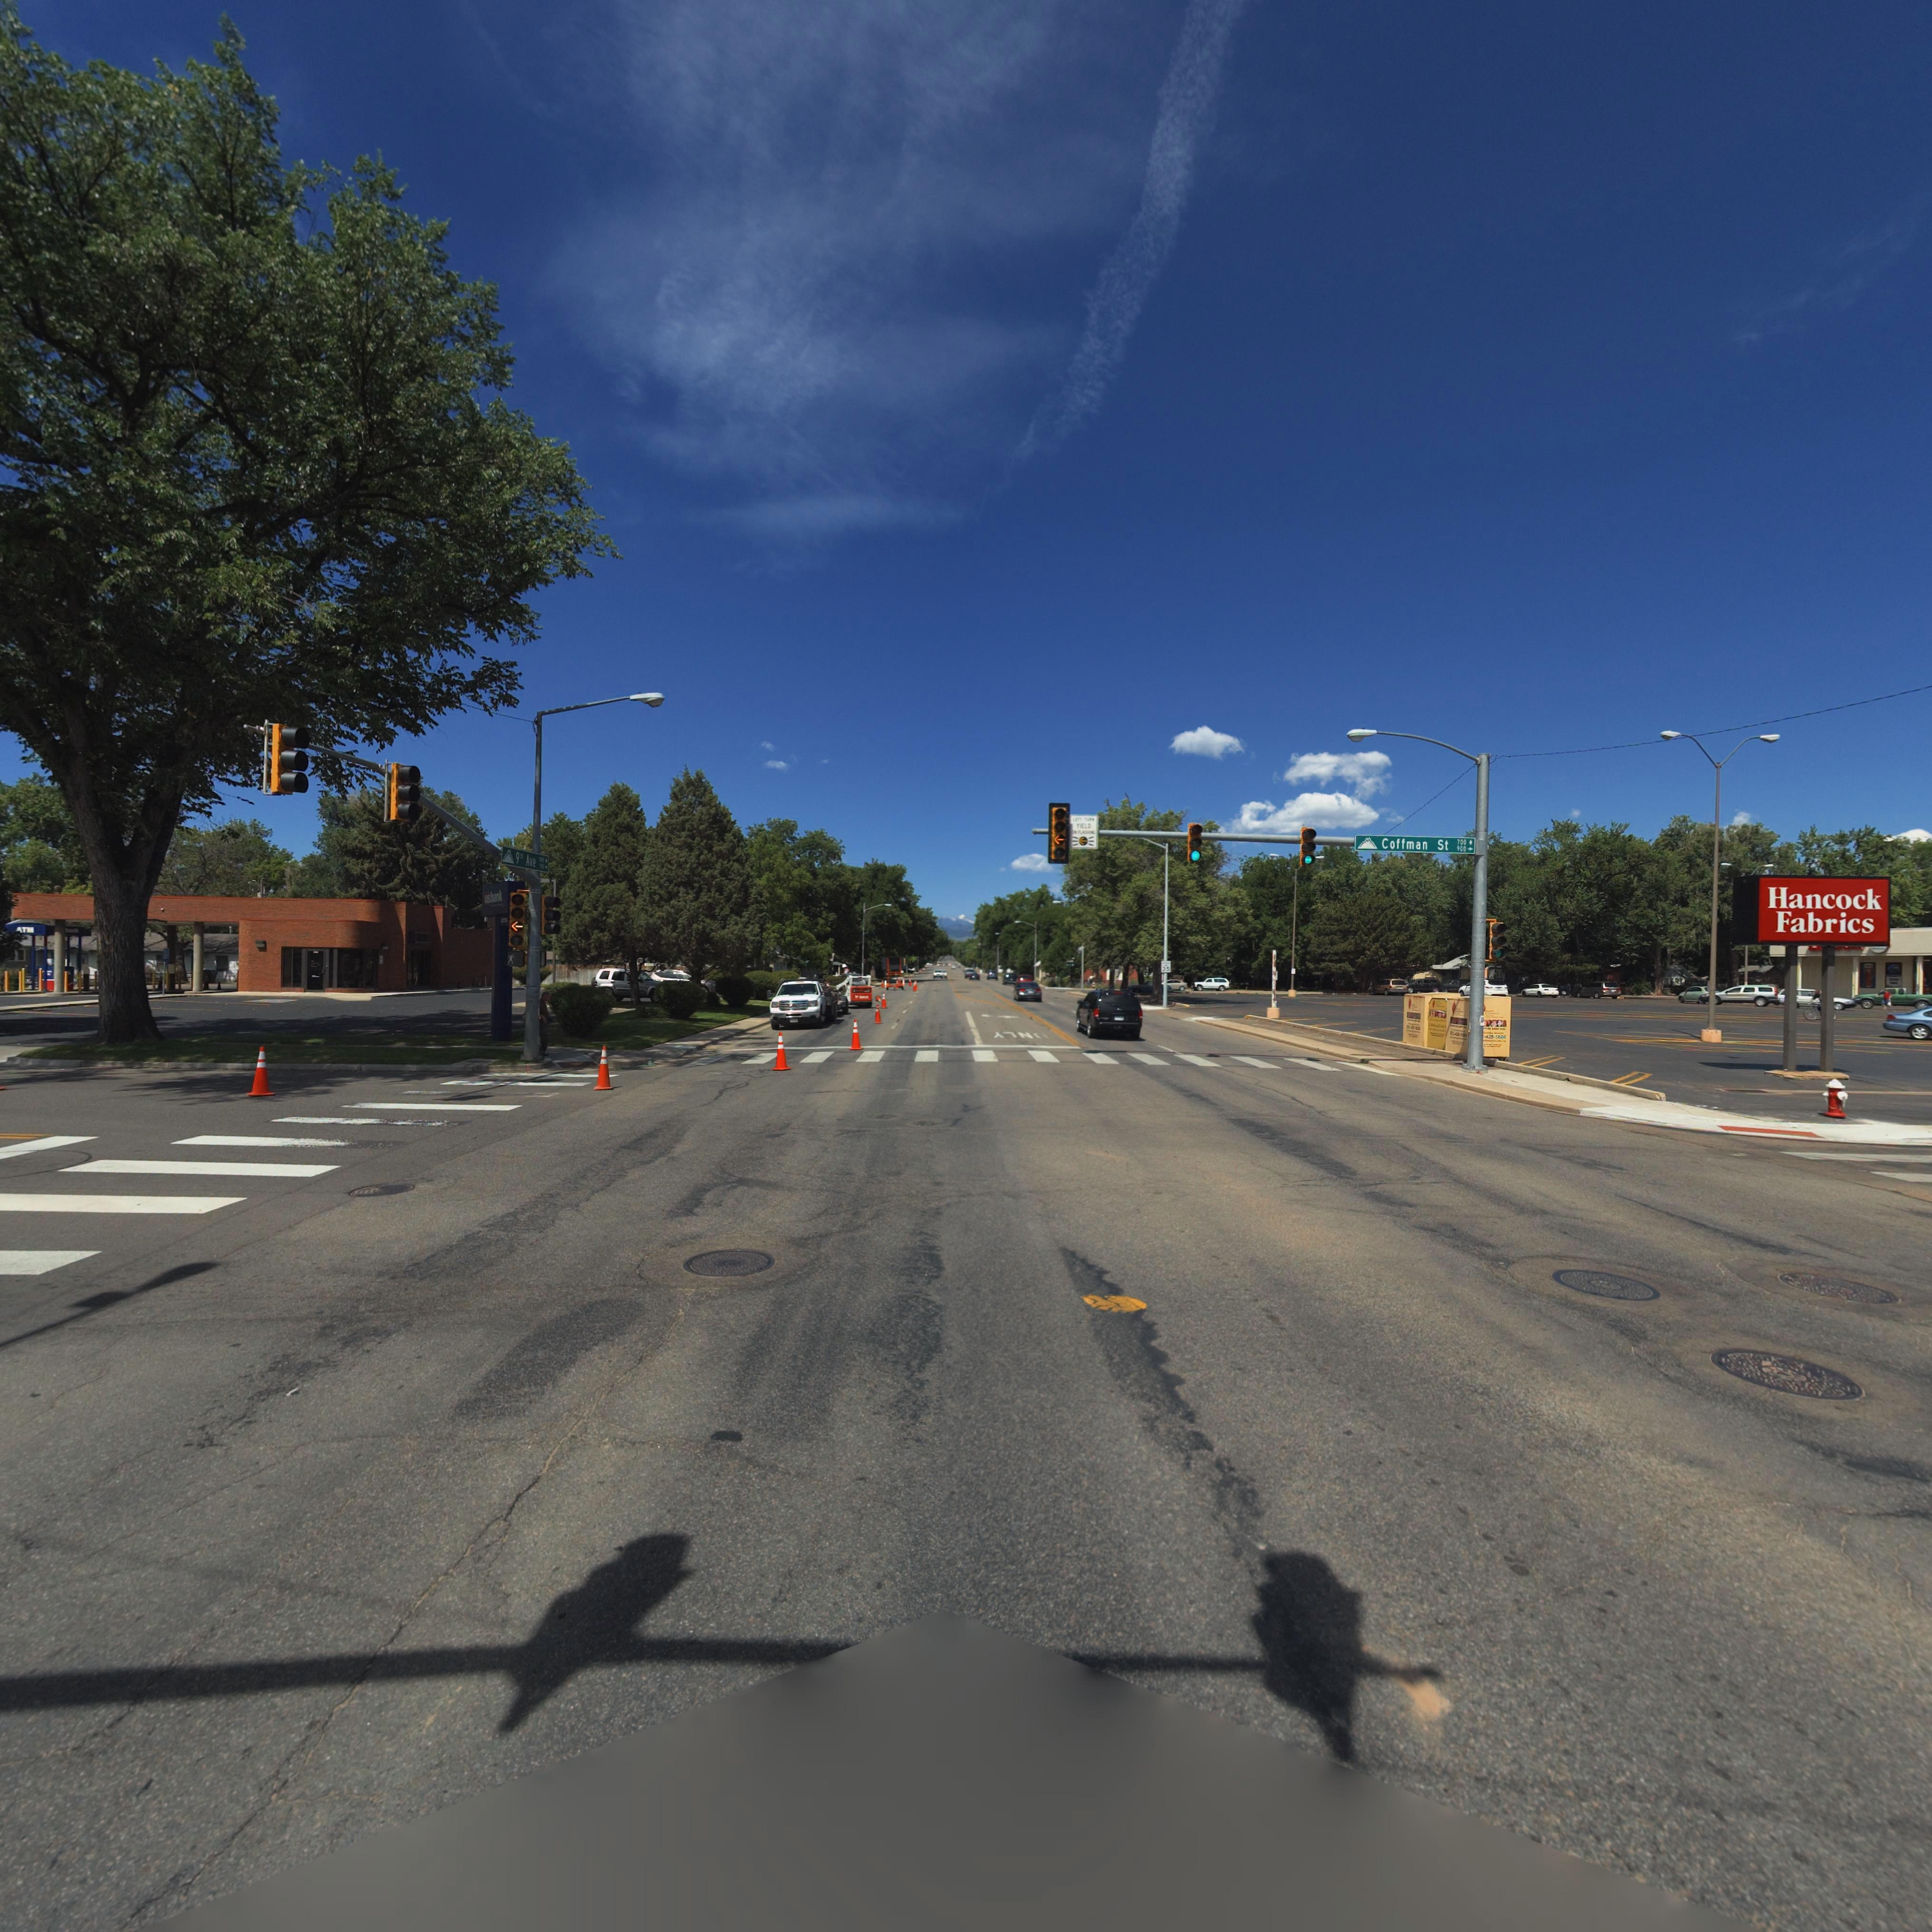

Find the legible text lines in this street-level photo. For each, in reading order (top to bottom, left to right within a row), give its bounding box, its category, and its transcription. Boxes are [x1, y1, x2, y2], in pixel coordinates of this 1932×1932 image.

[1381, 838, 1449, 850] StreetName: Coffman St
[1456, 839, 1467, 845] StreetNumberRange: 700
[1456, 845, 1474, 852] StreetNumberRange: 900->
[515, 851, 536, 868] StreetName: 9** Ave
[484, 889, 502, 904] BusinessName: us ba*k
[1767, 887, 1883, 910] BusinessName: Hancock
[1774, 910, 1875, 934] BusinessName: Fabrics